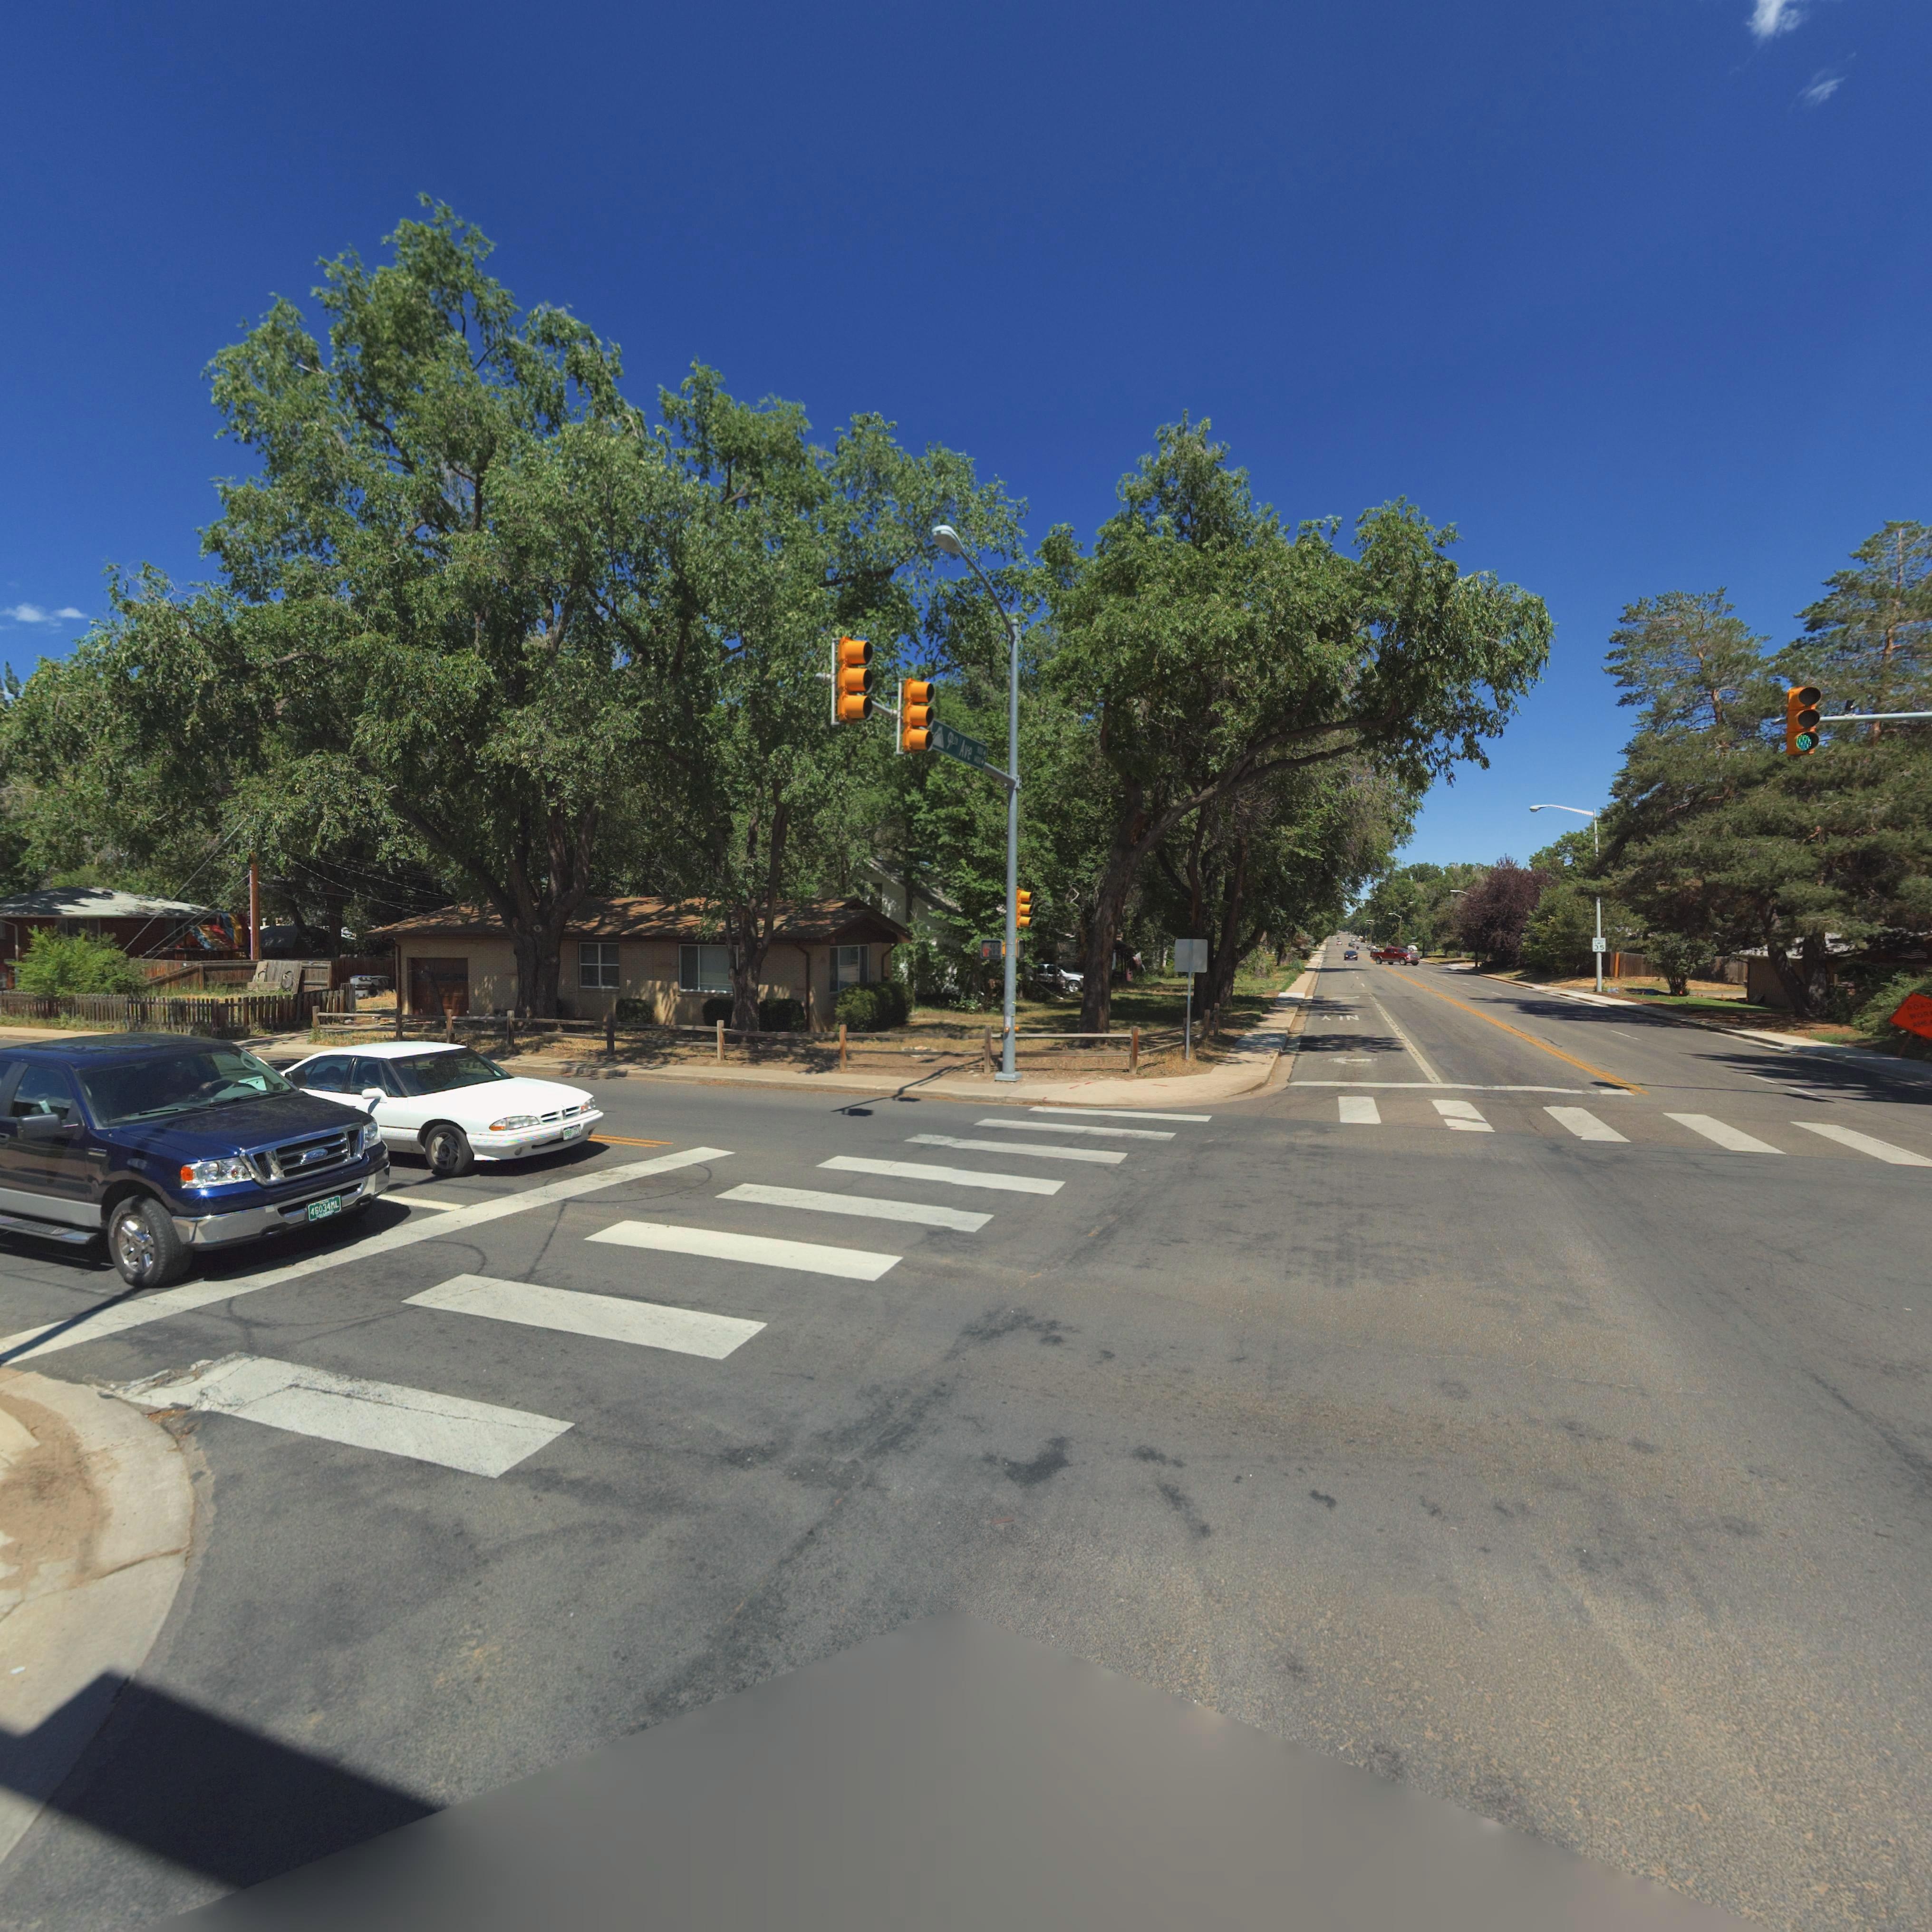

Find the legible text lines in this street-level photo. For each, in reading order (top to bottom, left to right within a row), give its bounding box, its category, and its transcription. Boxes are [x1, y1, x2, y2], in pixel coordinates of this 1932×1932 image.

[946, 731, 972, 761] StreetName: 9** Ave